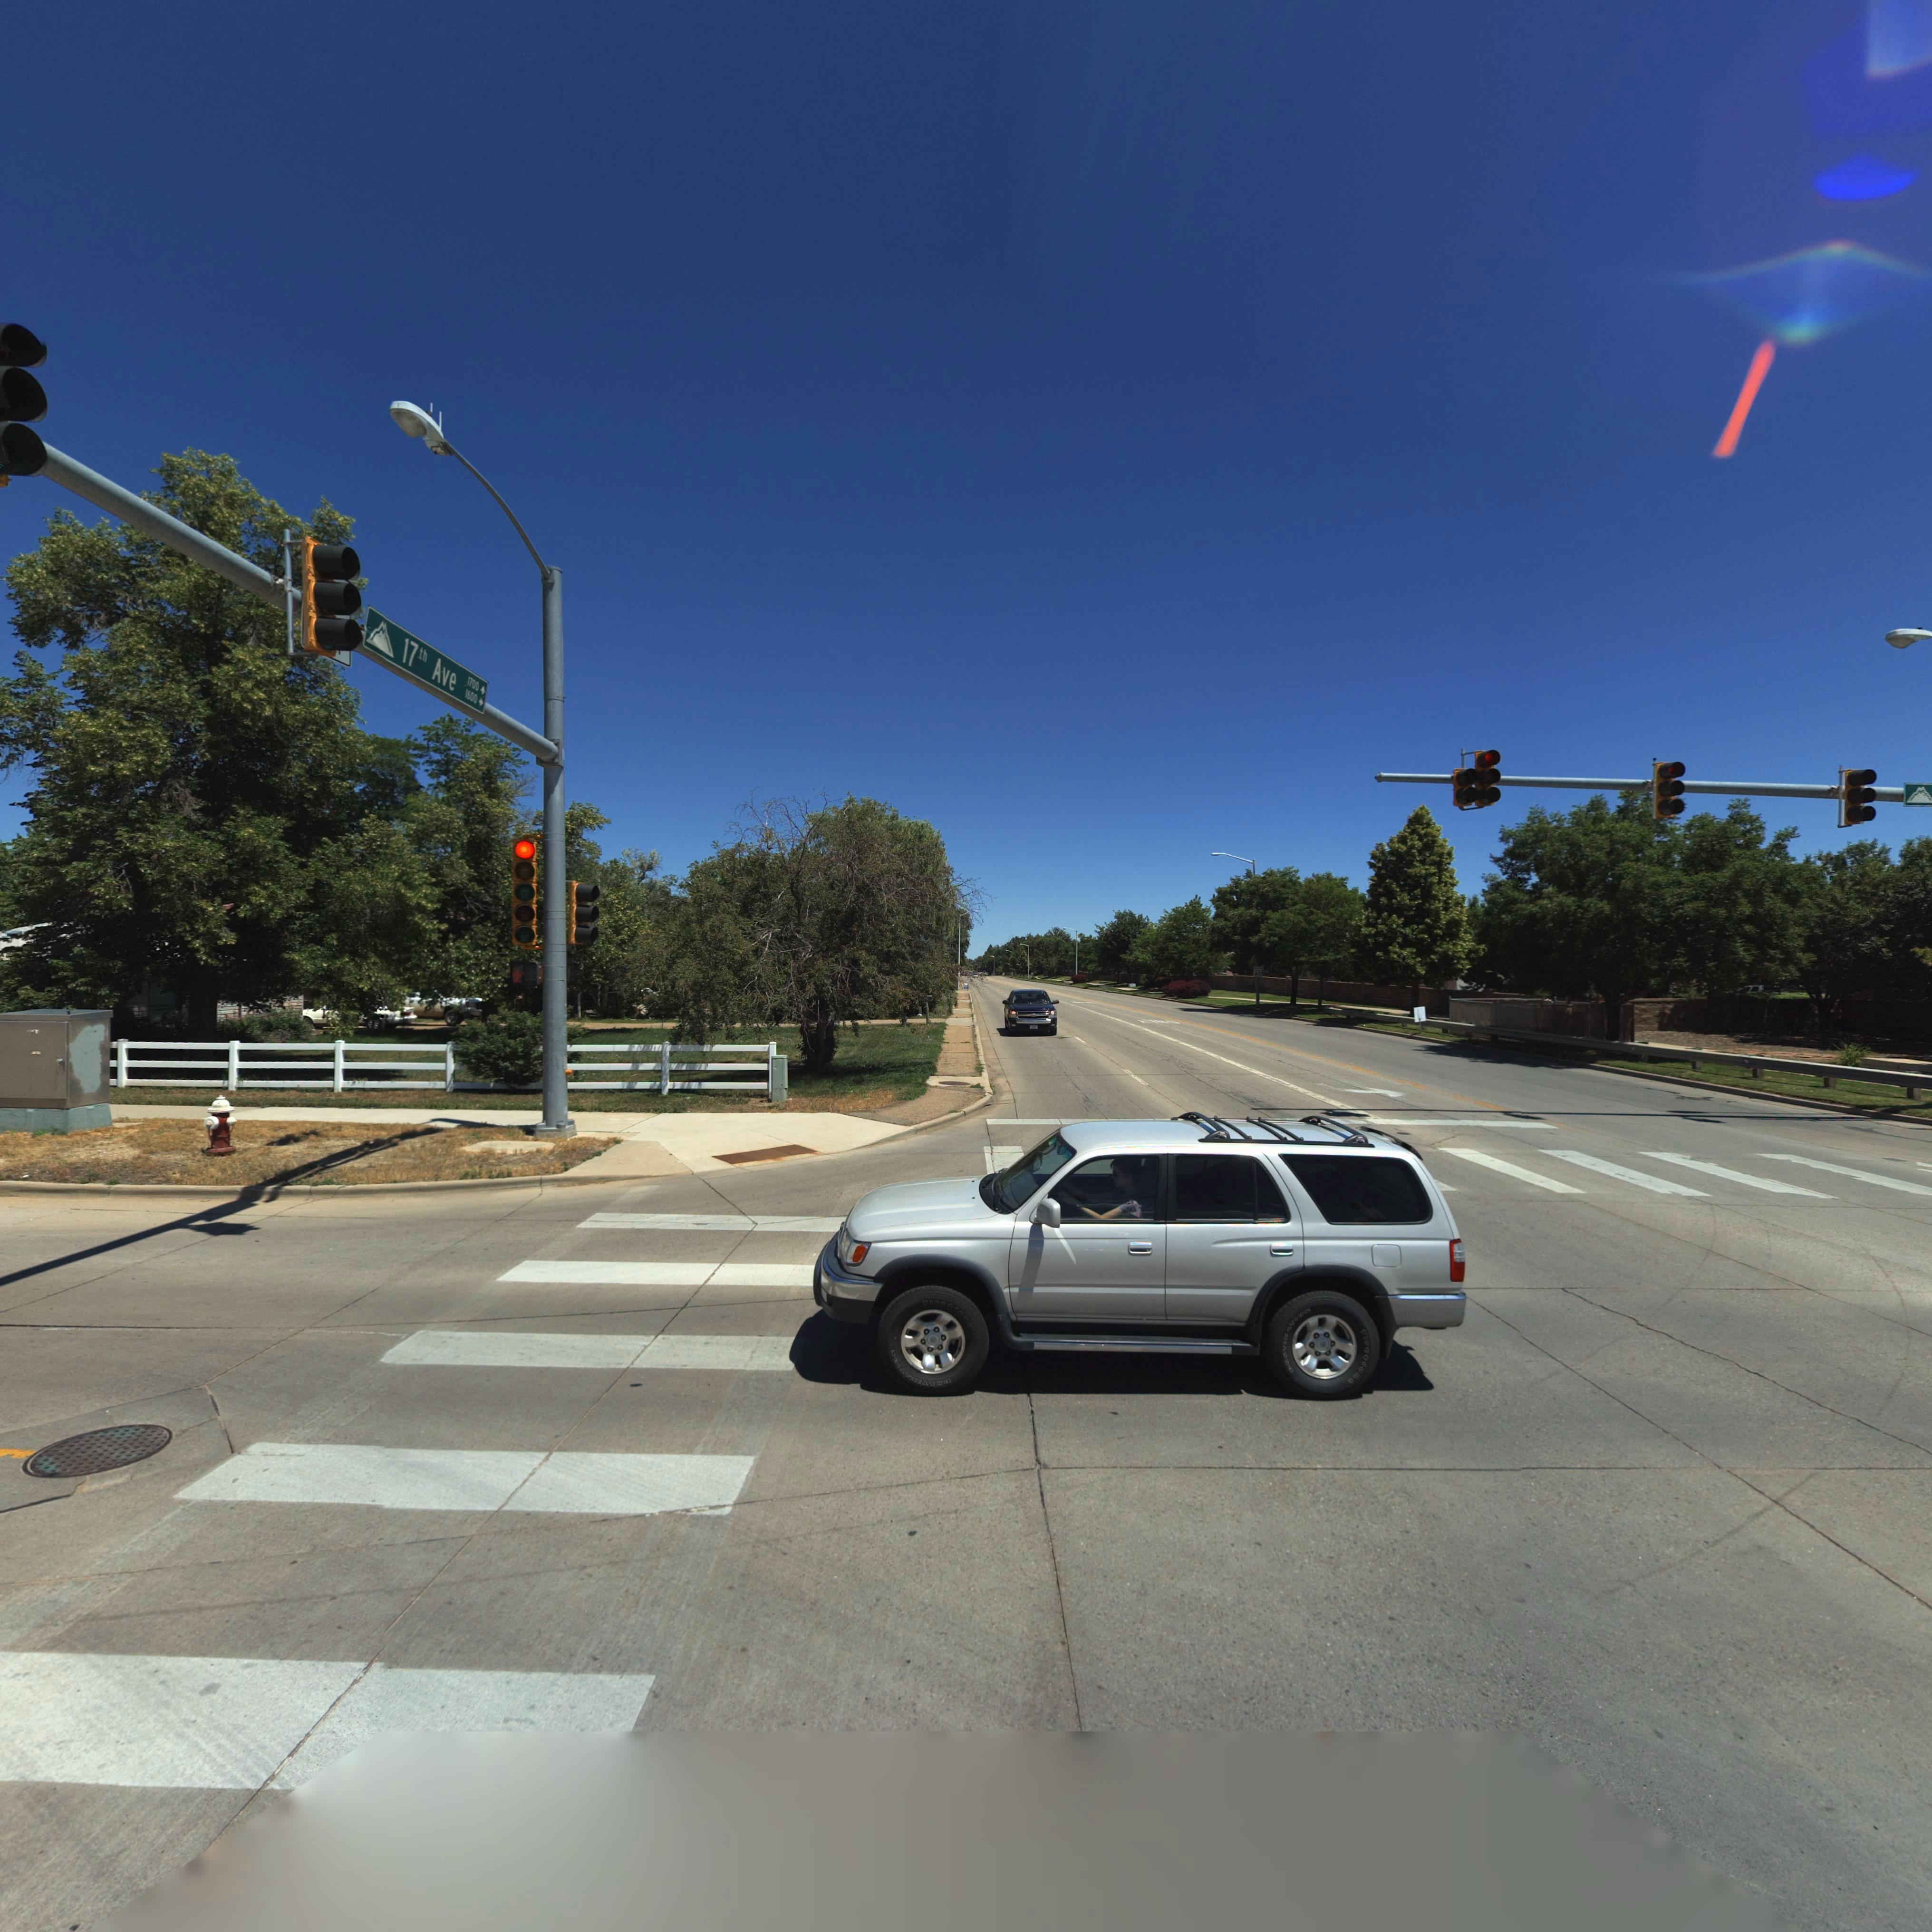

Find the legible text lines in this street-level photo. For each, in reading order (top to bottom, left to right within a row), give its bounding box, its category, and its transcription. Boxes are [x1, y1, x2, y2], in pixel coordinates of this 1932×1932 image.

[401, 637, 457, 692] StreetName: 17th Ave
[466, 676, 480, 691] StreetNumberRange: 1700
[464, 688, 484, 706] StreetNumberRange: 1600 ->